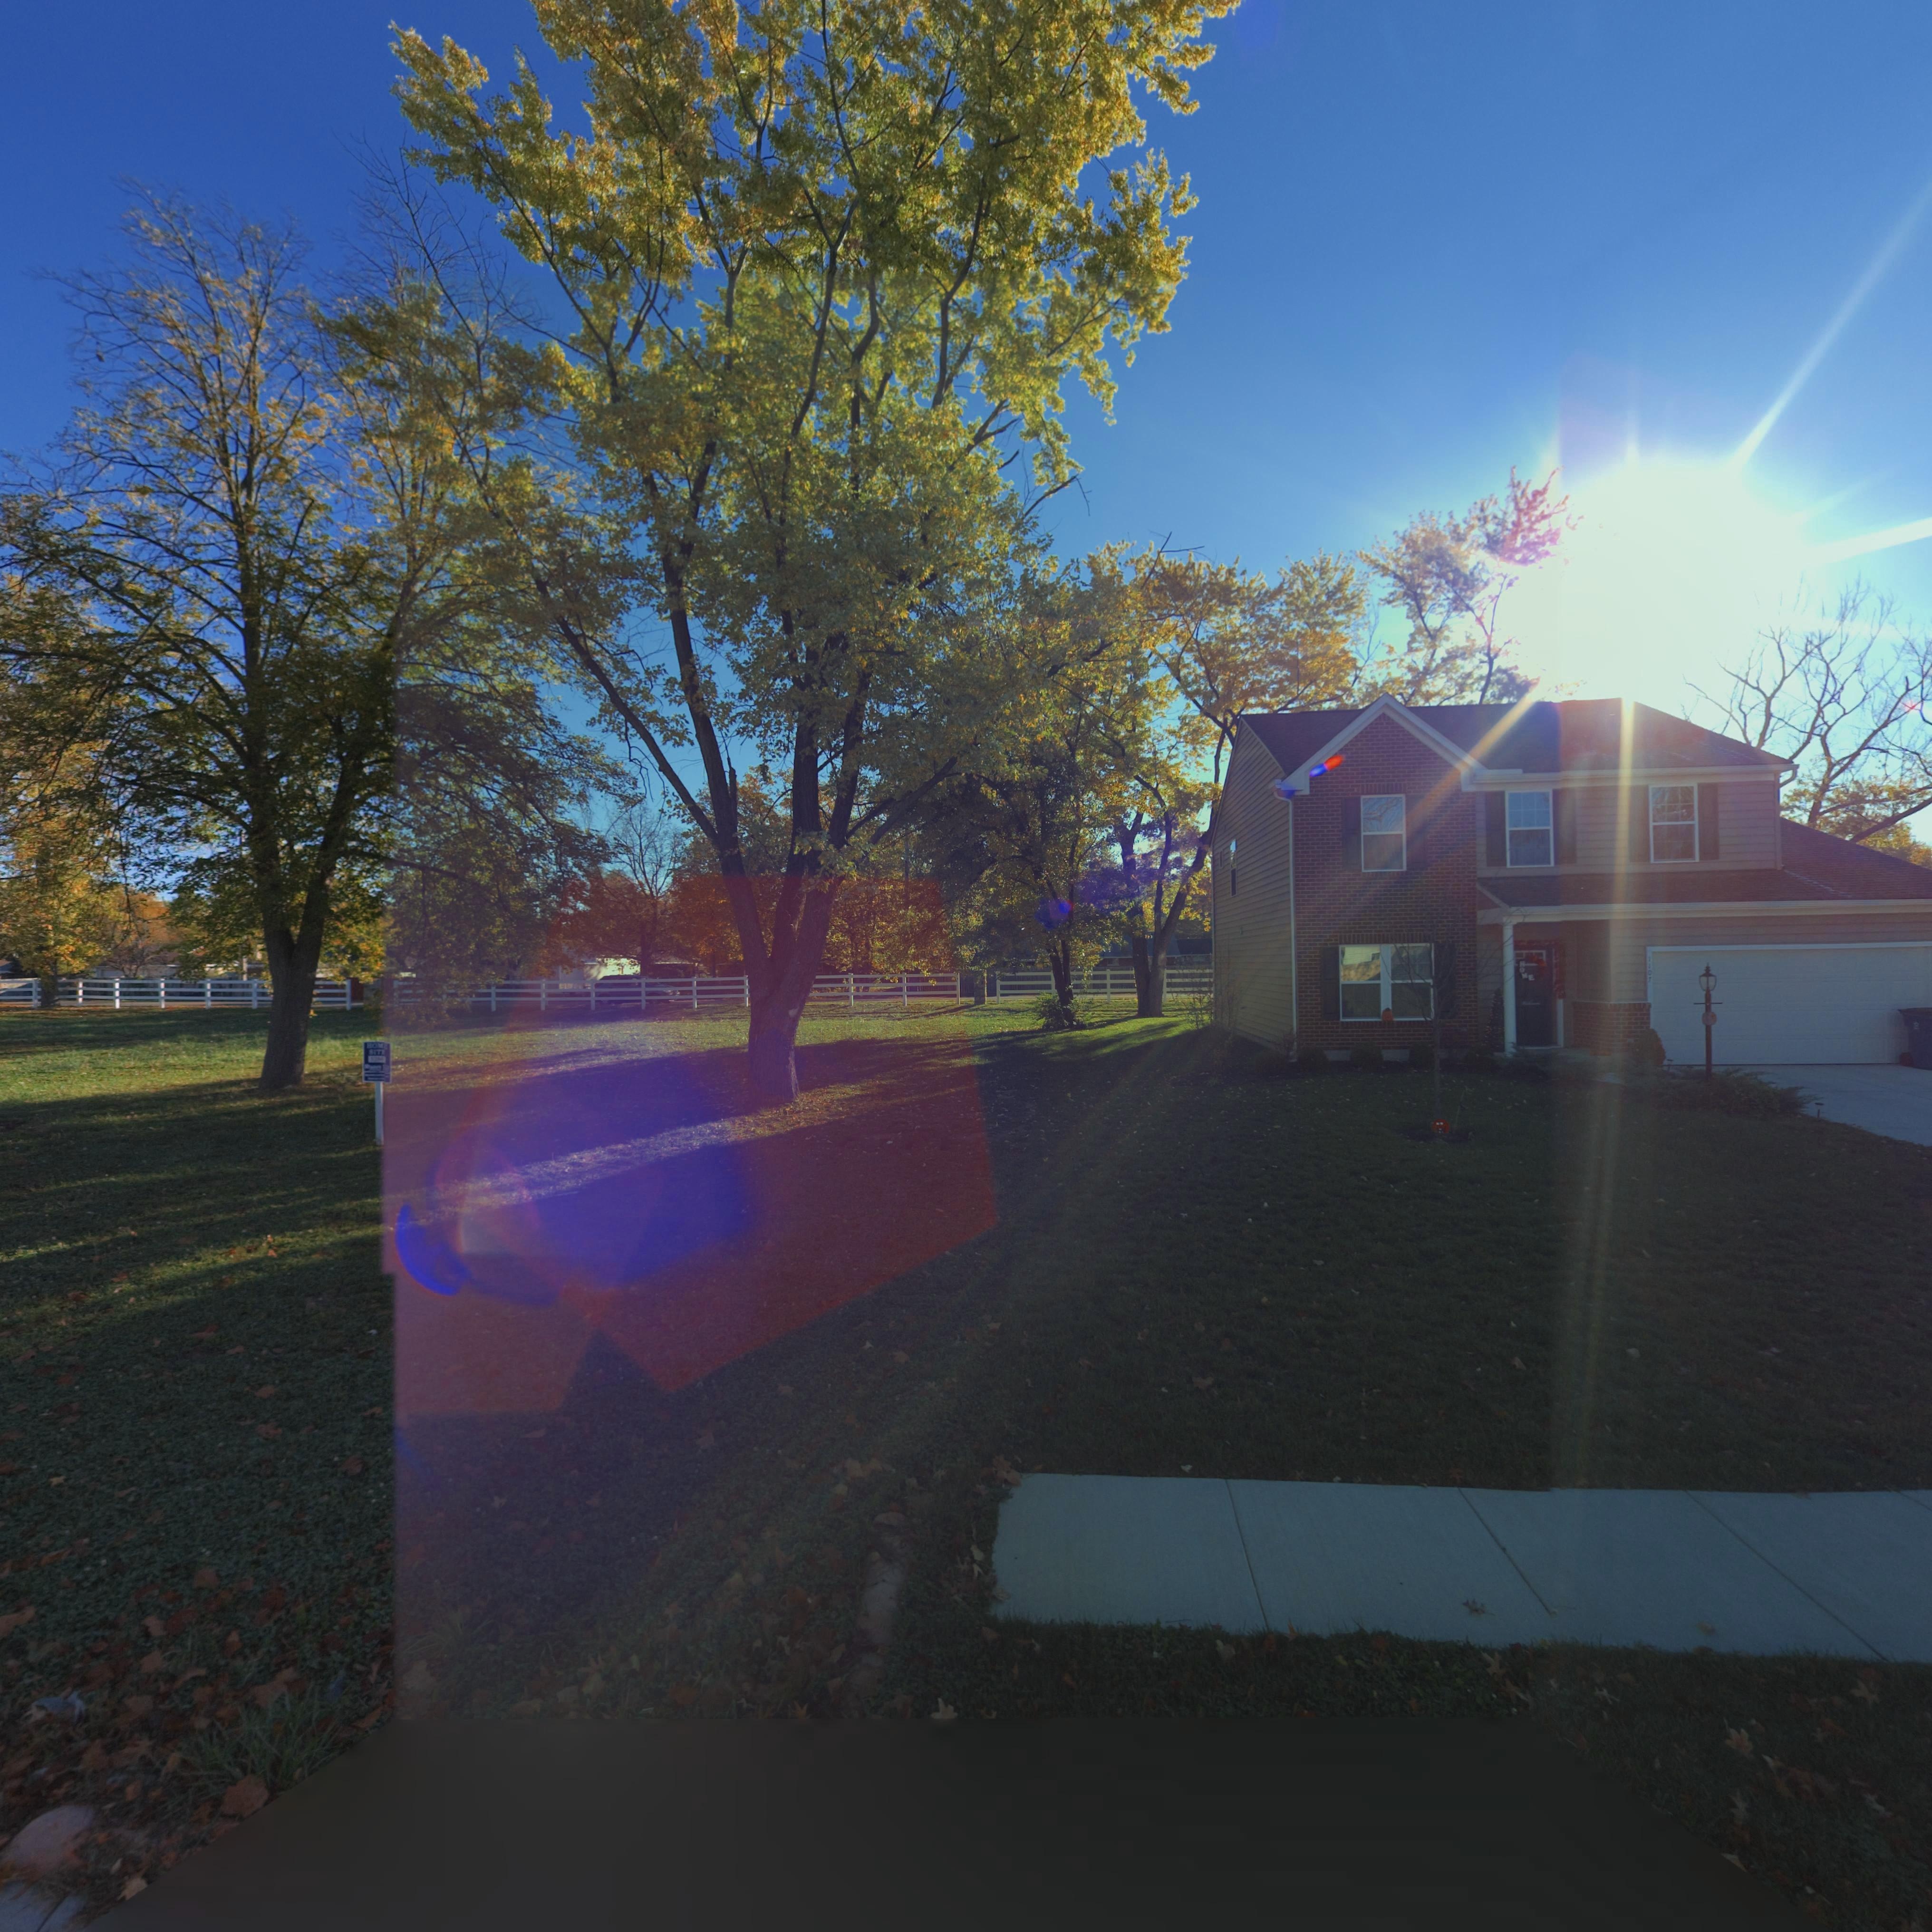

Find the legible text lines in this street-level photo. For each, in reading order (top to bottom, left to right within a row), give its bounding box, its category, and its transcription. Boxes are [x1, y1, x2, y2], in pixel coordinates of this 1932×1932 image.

[1646, 955, 1652, 983] StreetNumber: 1107